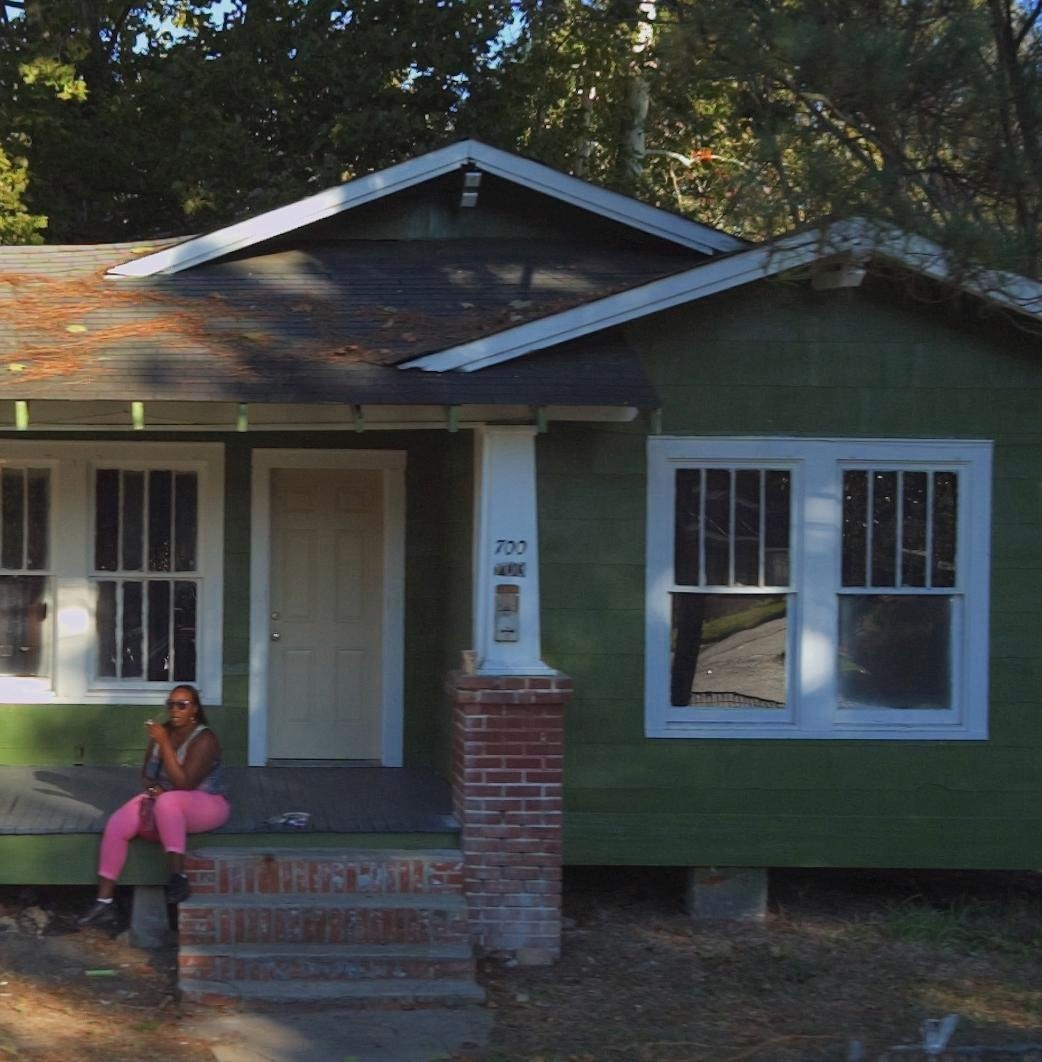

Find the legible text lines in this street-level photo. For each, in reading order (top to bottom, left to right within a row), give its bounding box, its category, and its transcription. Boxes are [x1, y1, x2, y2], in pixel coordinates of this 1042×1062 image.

[491, 537, 530, 558] StreetNumber: 700